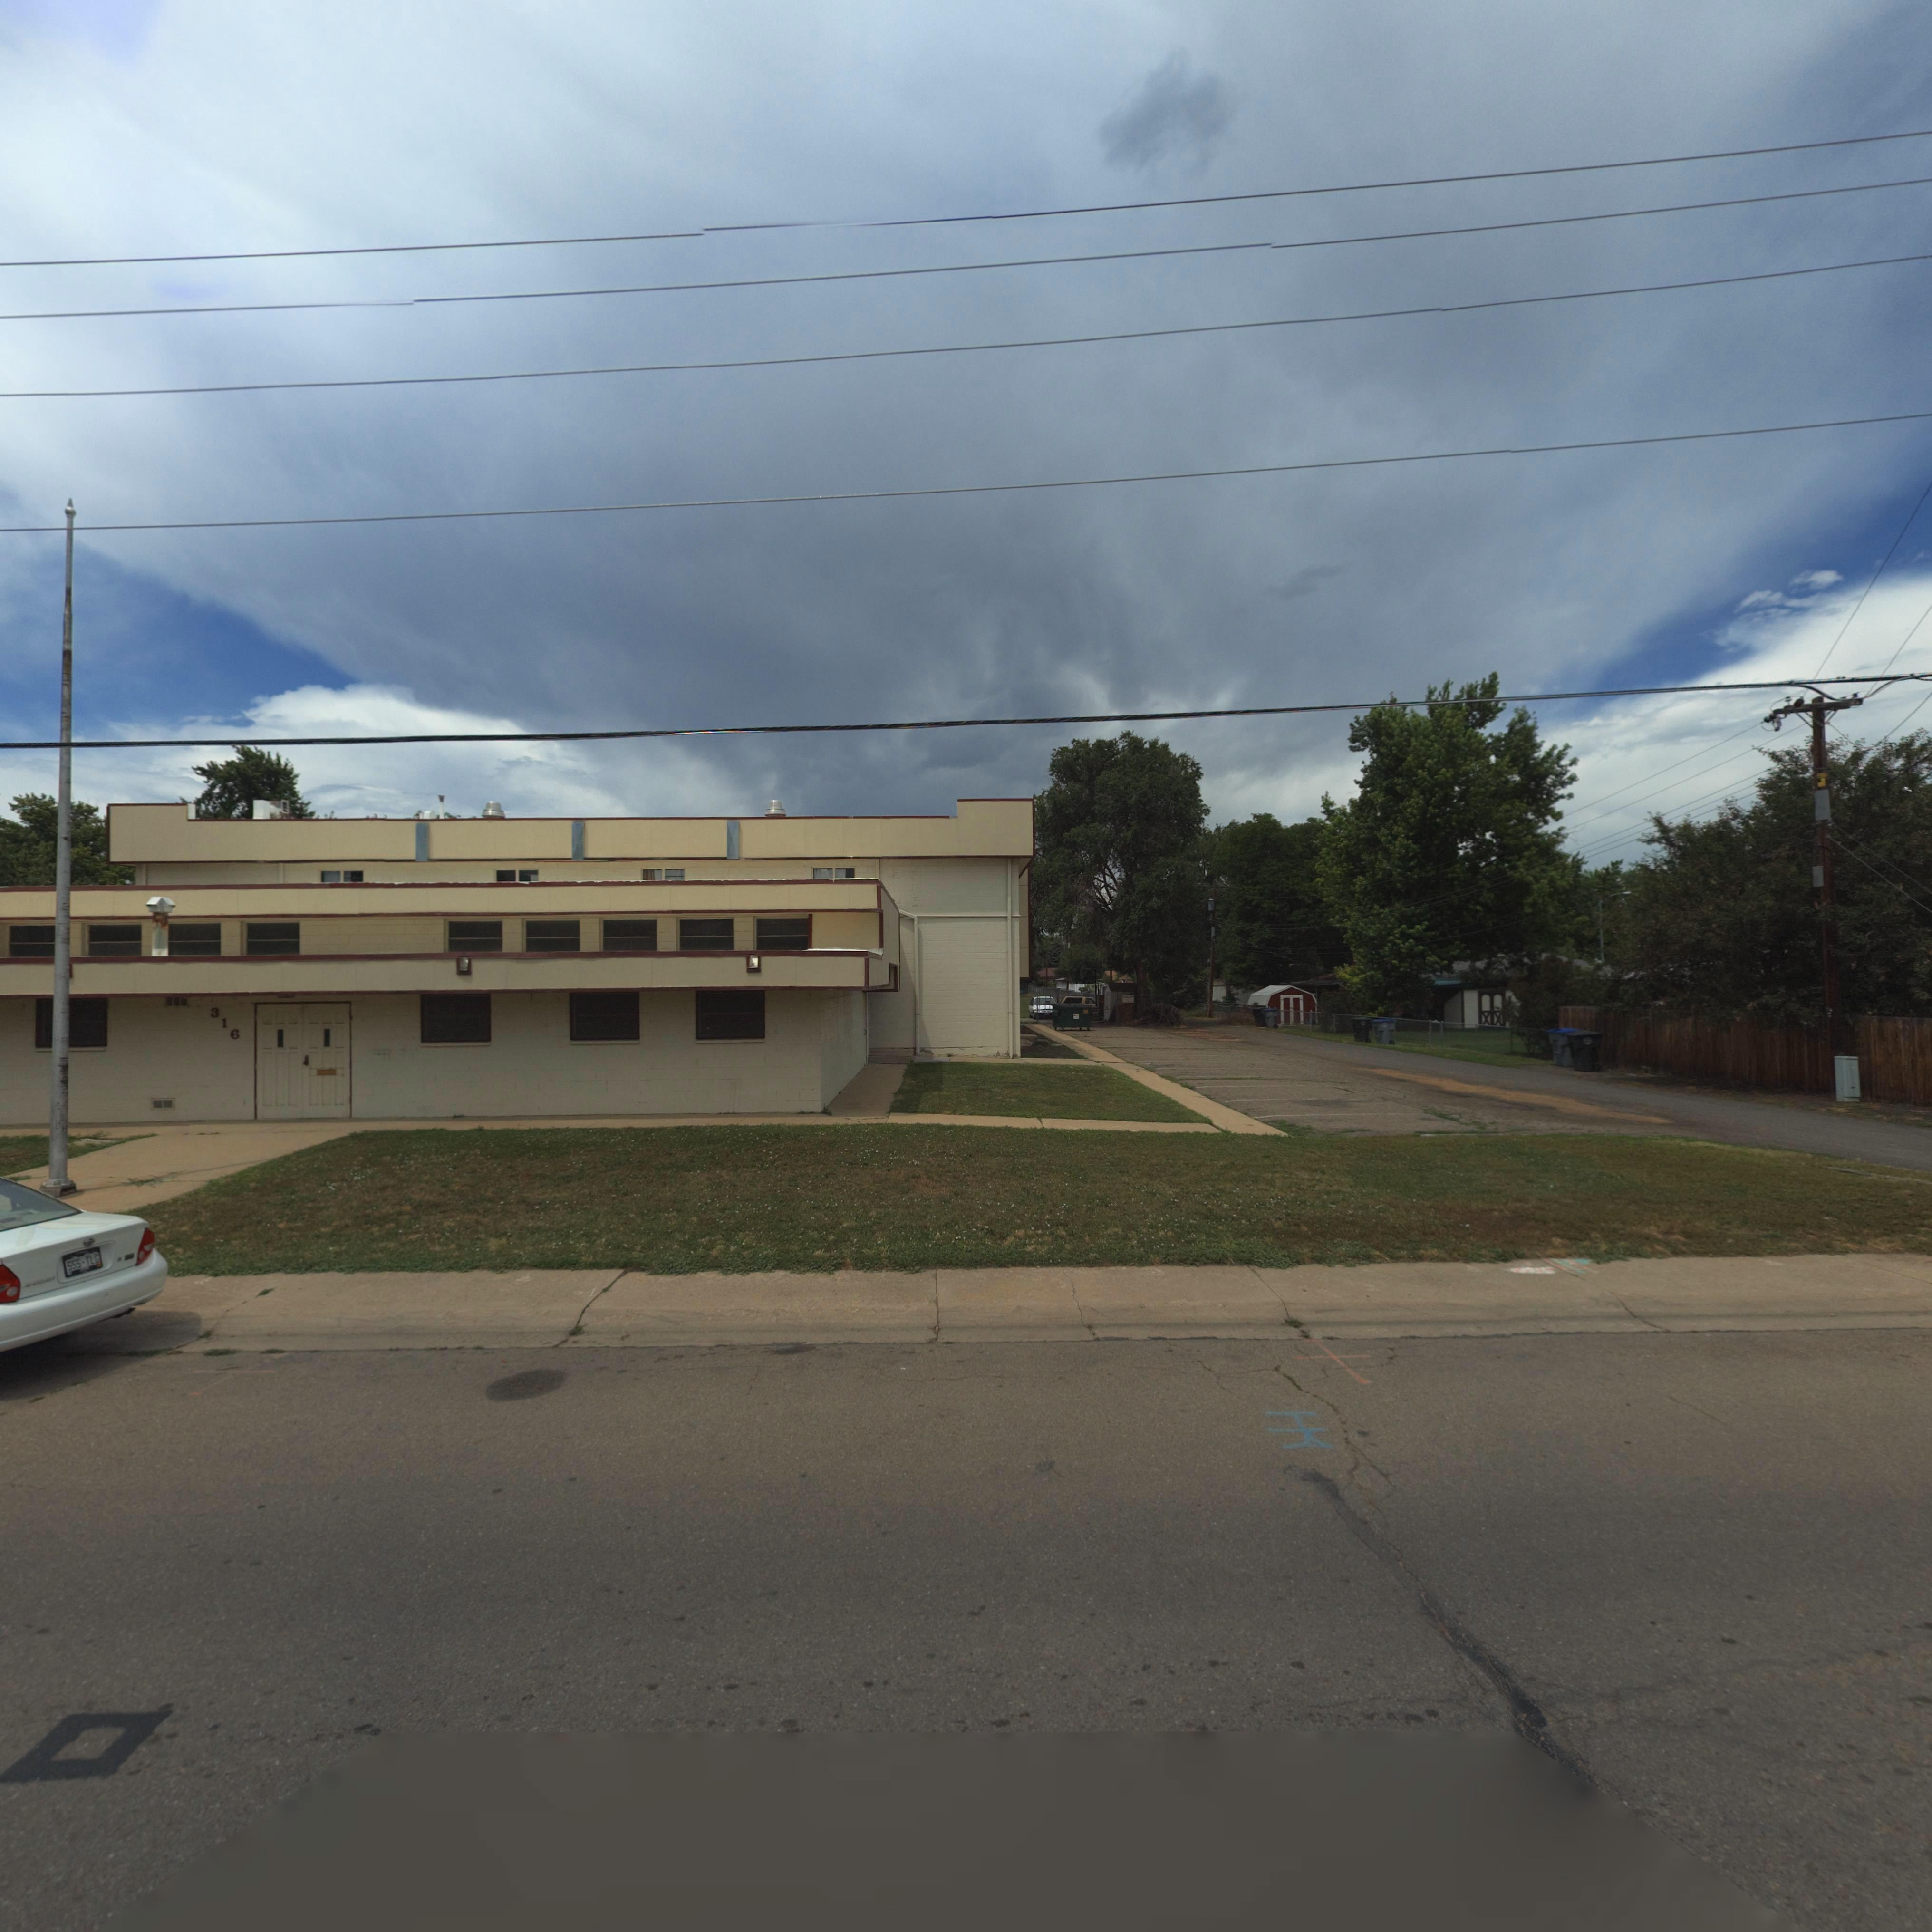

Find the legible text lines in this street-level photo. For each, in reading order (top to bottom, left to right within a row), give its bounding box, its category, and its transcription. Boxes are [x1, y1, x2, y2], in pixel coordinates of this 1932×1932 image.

[209, 1006, 241, 1040] StreetNumber: 316